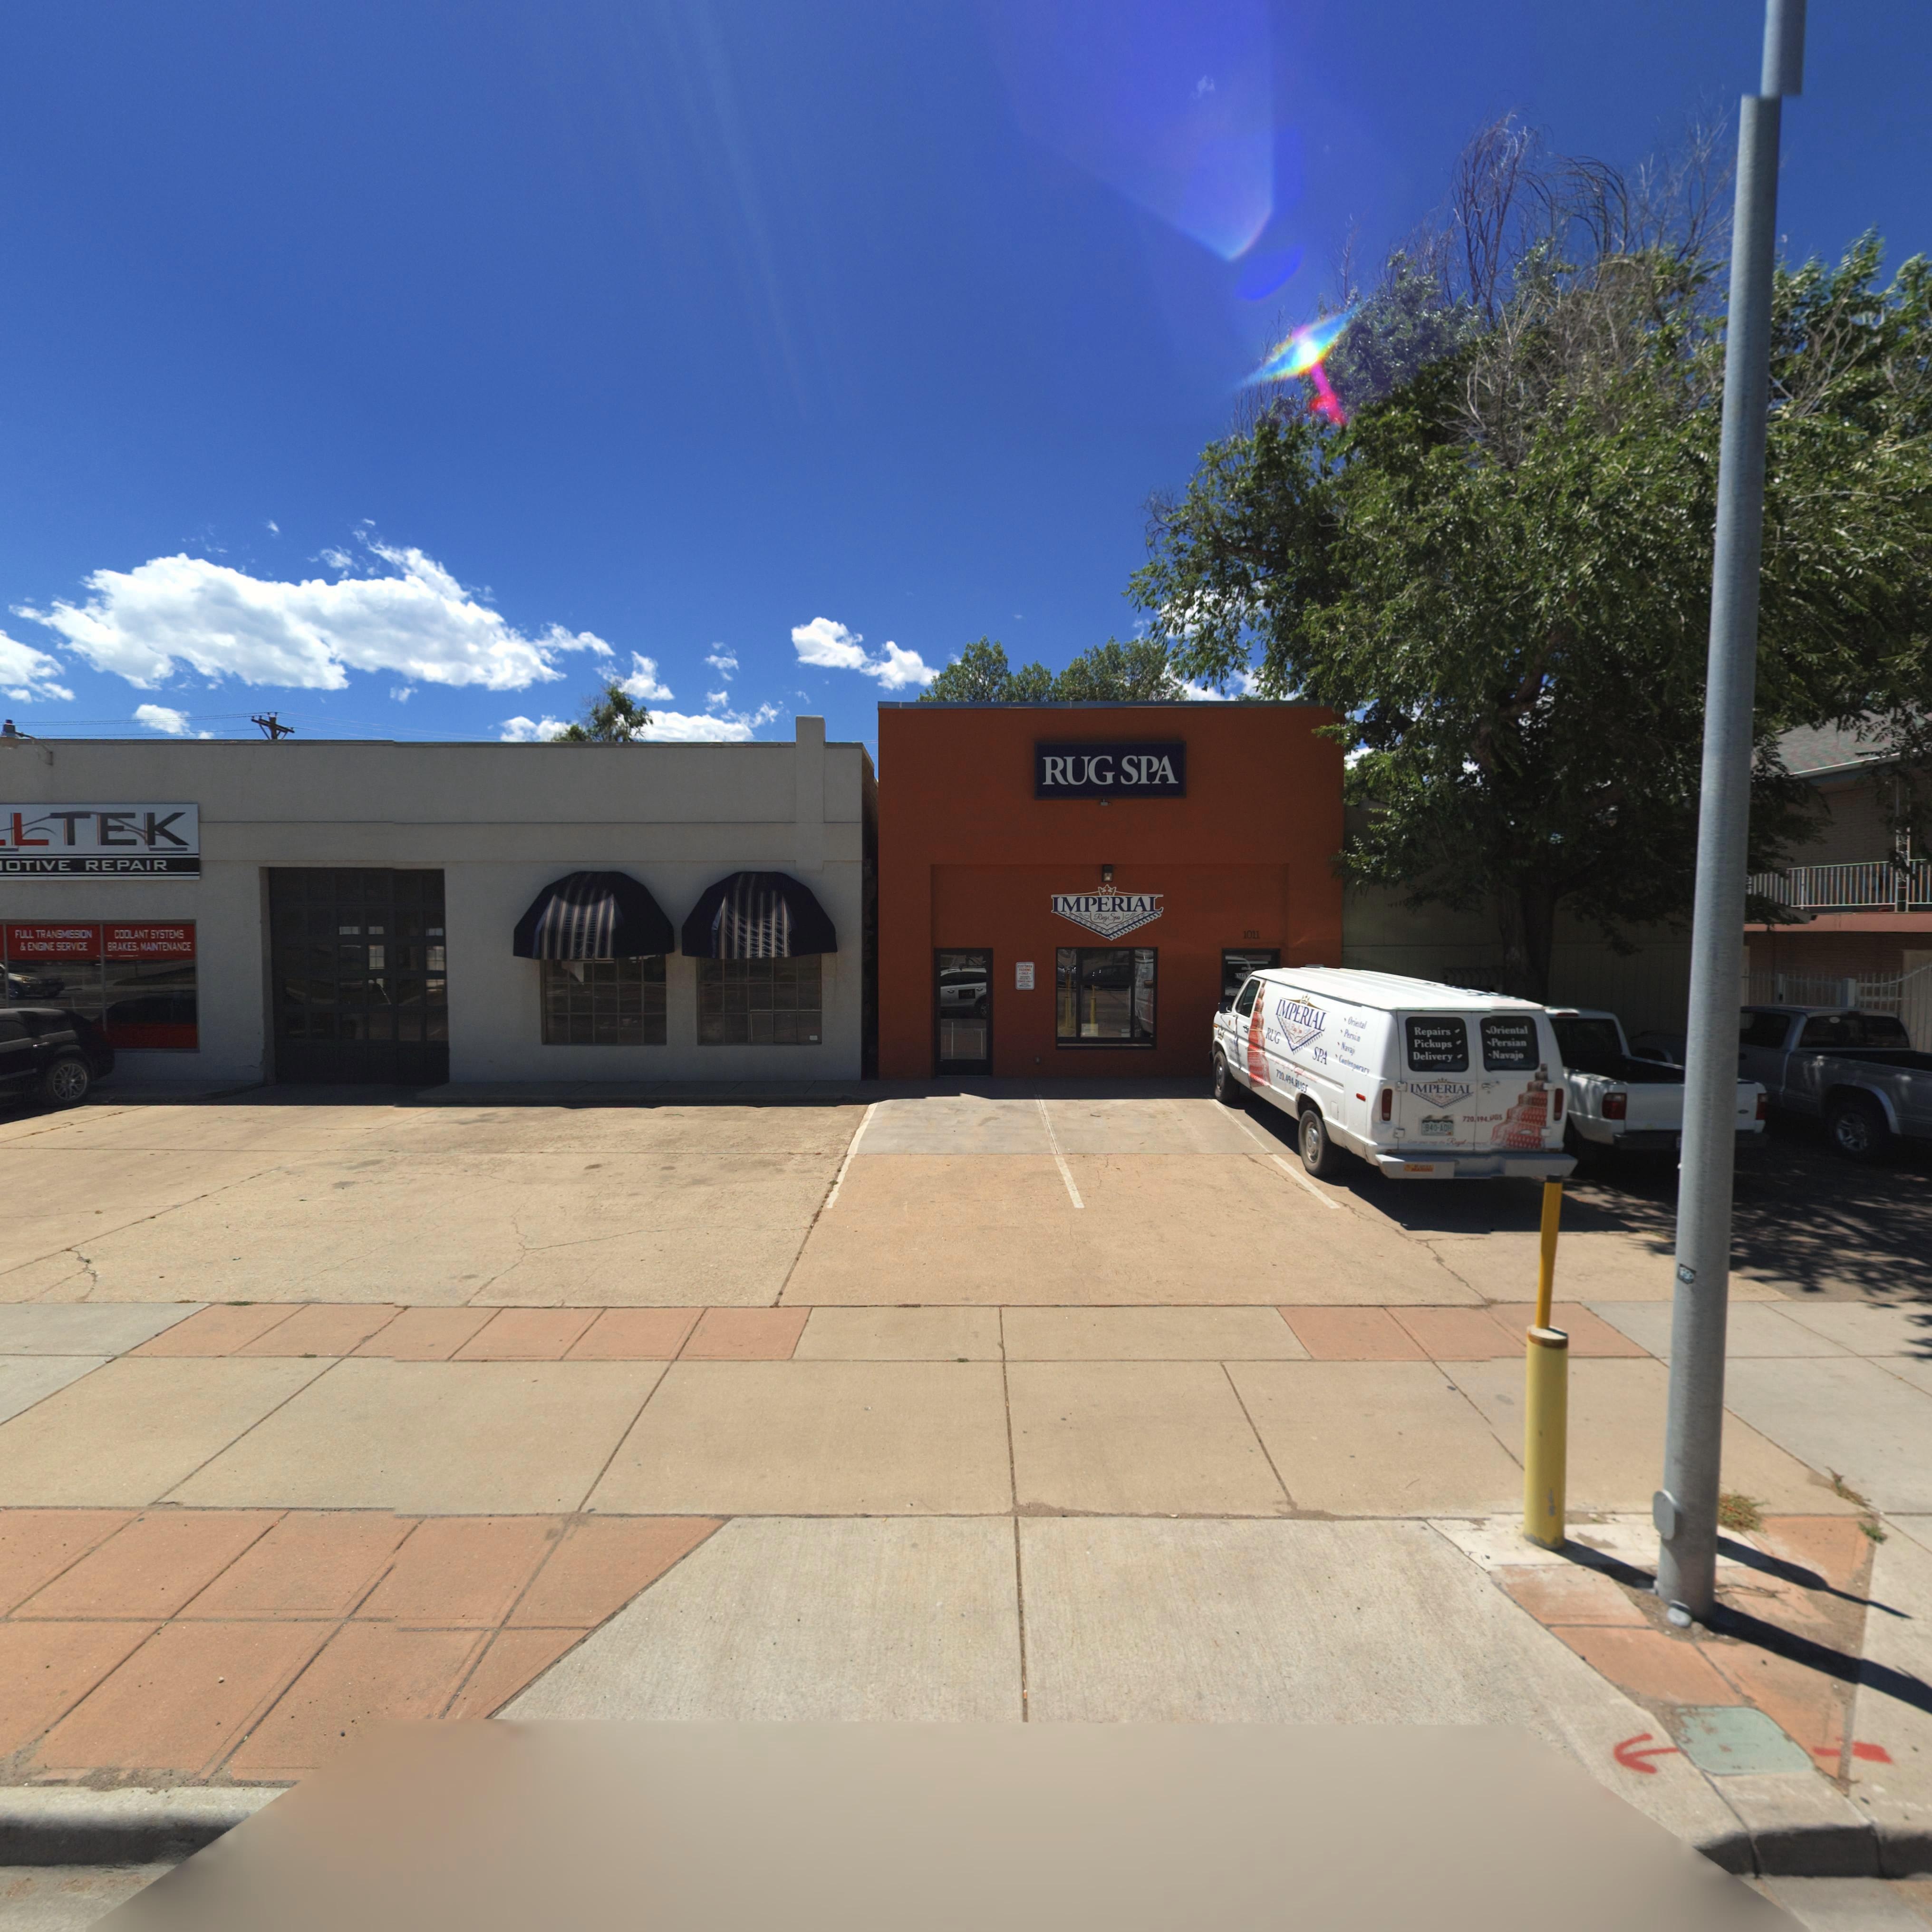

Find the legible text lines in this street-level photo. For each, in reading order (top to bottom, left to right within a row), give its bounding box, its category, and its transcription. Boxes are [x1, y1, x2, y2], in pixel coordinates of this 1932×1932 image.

[1042, 754, 1179, 785] BusinessName: RUG SPA
[10, 811, 190, 846] BusinessName: LTEK
[5, 860, 167, 870] BusinessName: OTIVE REPAIR
[1051, 896, 1163, 912] BusinessName: IMPERIAL
[1093, 913, 1121, 922] BusinessName: Rug Spa
[1243, 930, 1260, 938] StreetNumber: 1011